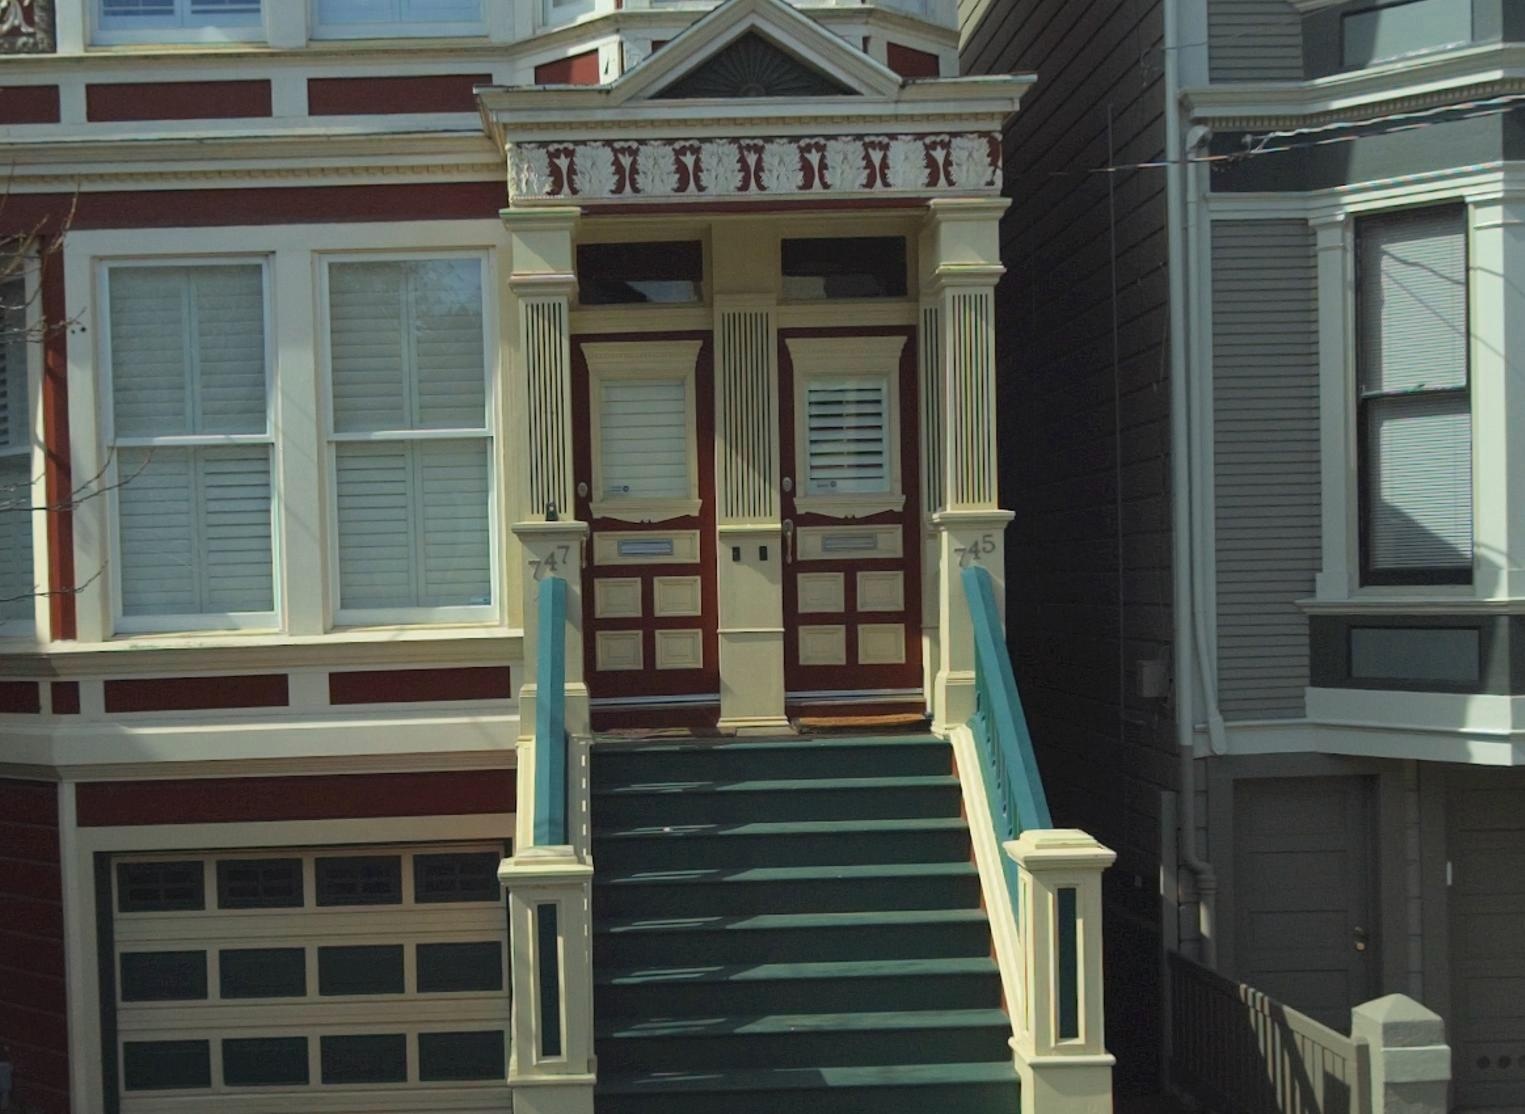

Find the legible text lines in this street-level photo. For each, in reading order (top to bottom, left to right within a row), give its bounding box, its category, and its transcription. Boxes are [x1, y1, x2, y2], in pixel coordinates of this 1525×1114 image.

[524, 543, 573, 584] StreetNumber: 747
[949, 530, 998, 570] StreetNumber: 745